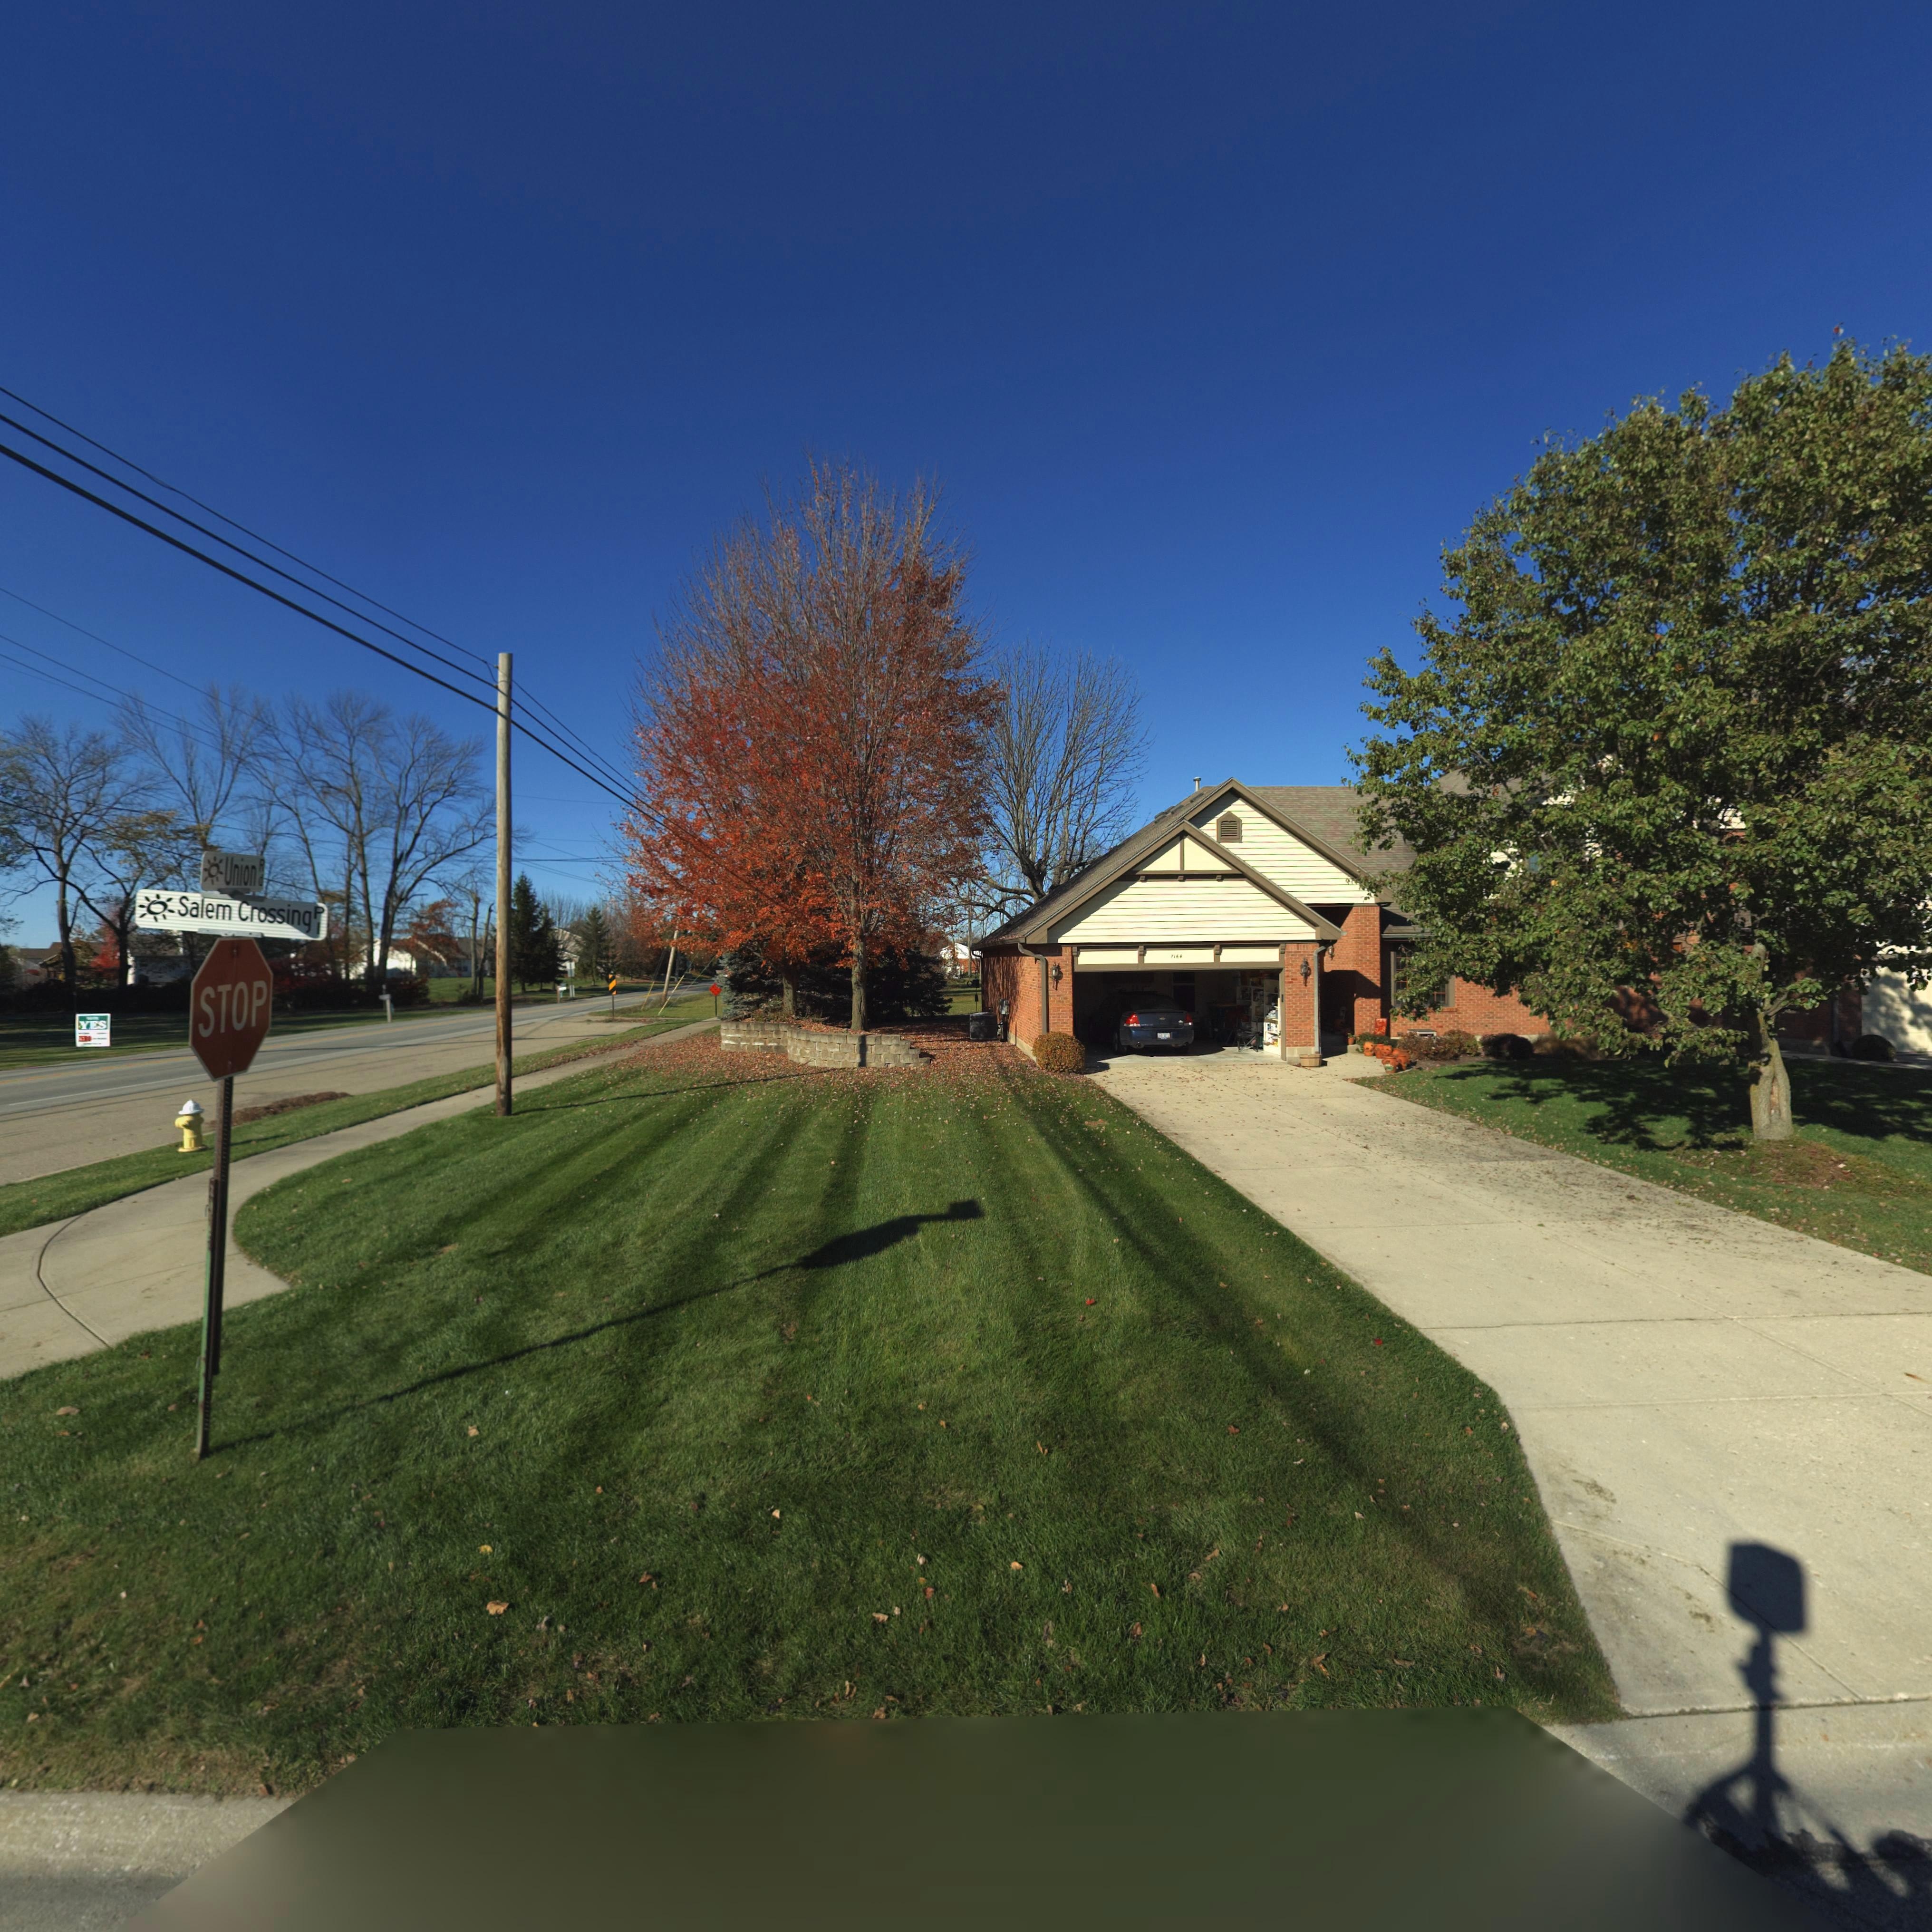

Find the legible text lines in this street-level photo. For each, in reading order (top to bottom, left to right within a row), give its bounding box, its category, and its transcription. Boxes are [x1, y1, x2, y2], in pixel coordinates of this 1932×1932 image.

[1170, 954, 1183, 958] StreetNumber: 7164